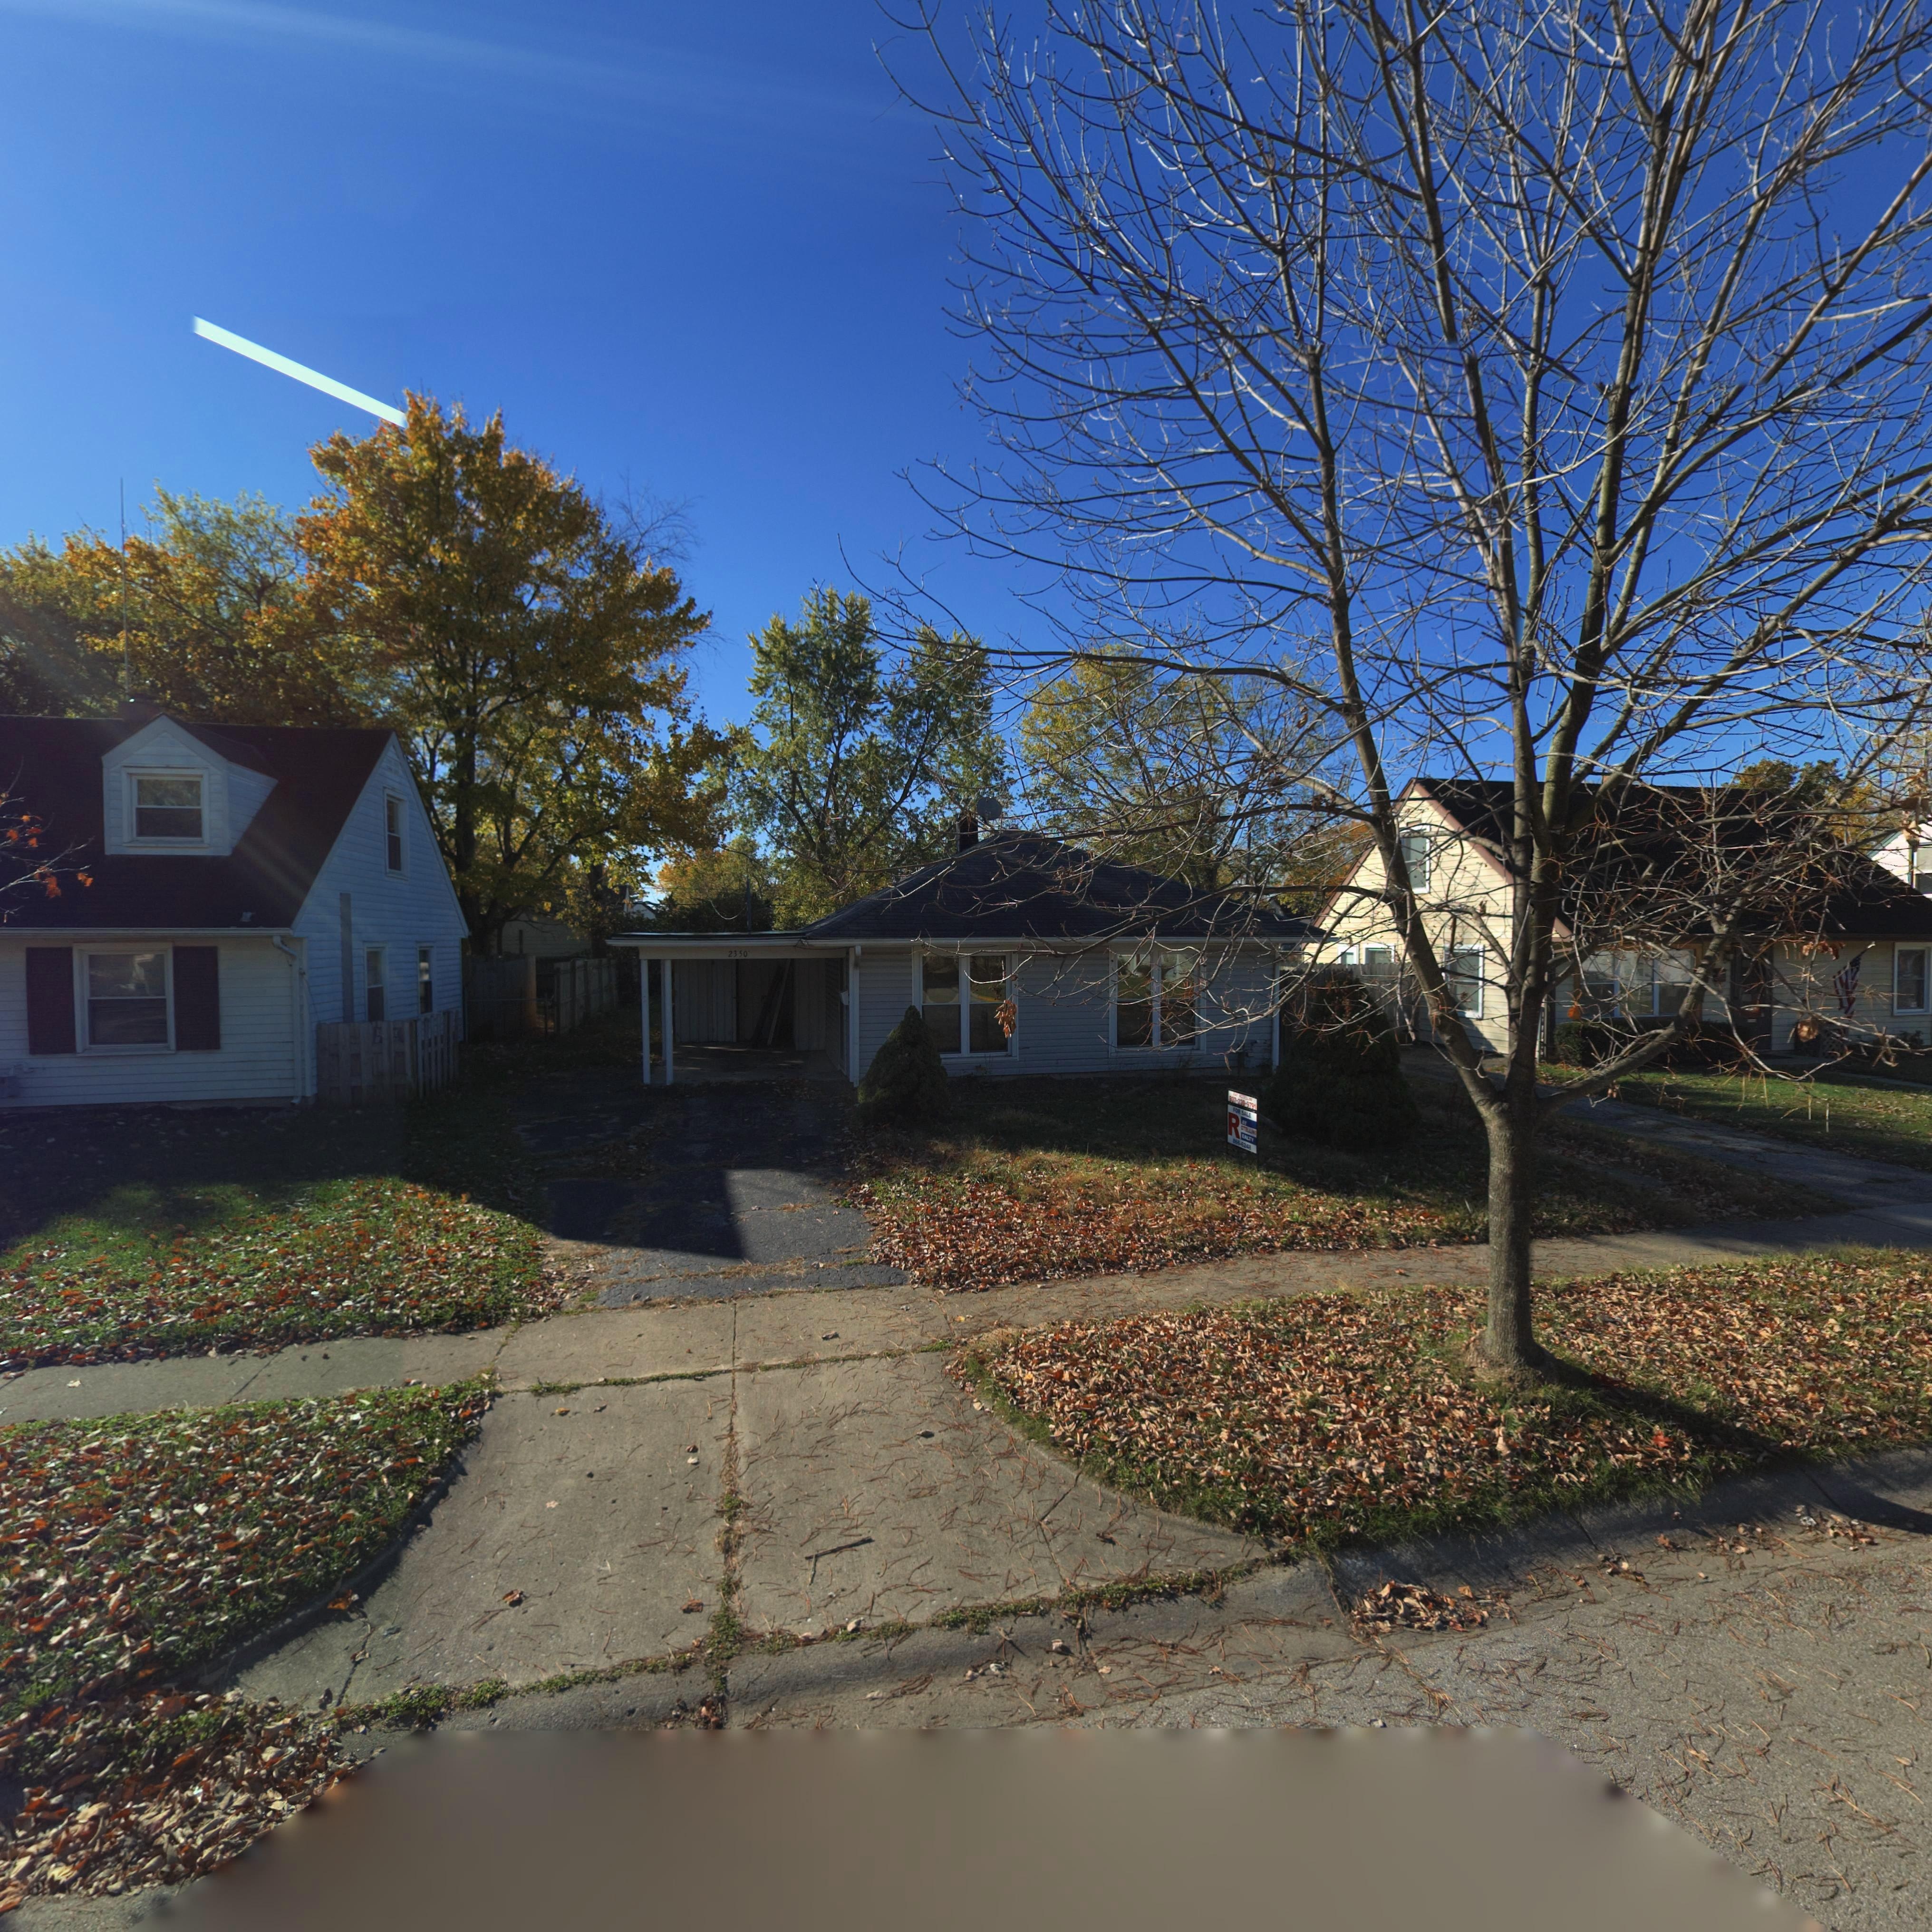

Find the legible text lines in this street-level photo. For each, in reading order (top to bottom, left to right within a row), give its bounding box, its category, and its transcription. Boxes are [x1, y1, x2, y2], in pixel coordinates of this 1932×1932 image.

[727, 949, 748, 958] StreetNumber: 2350